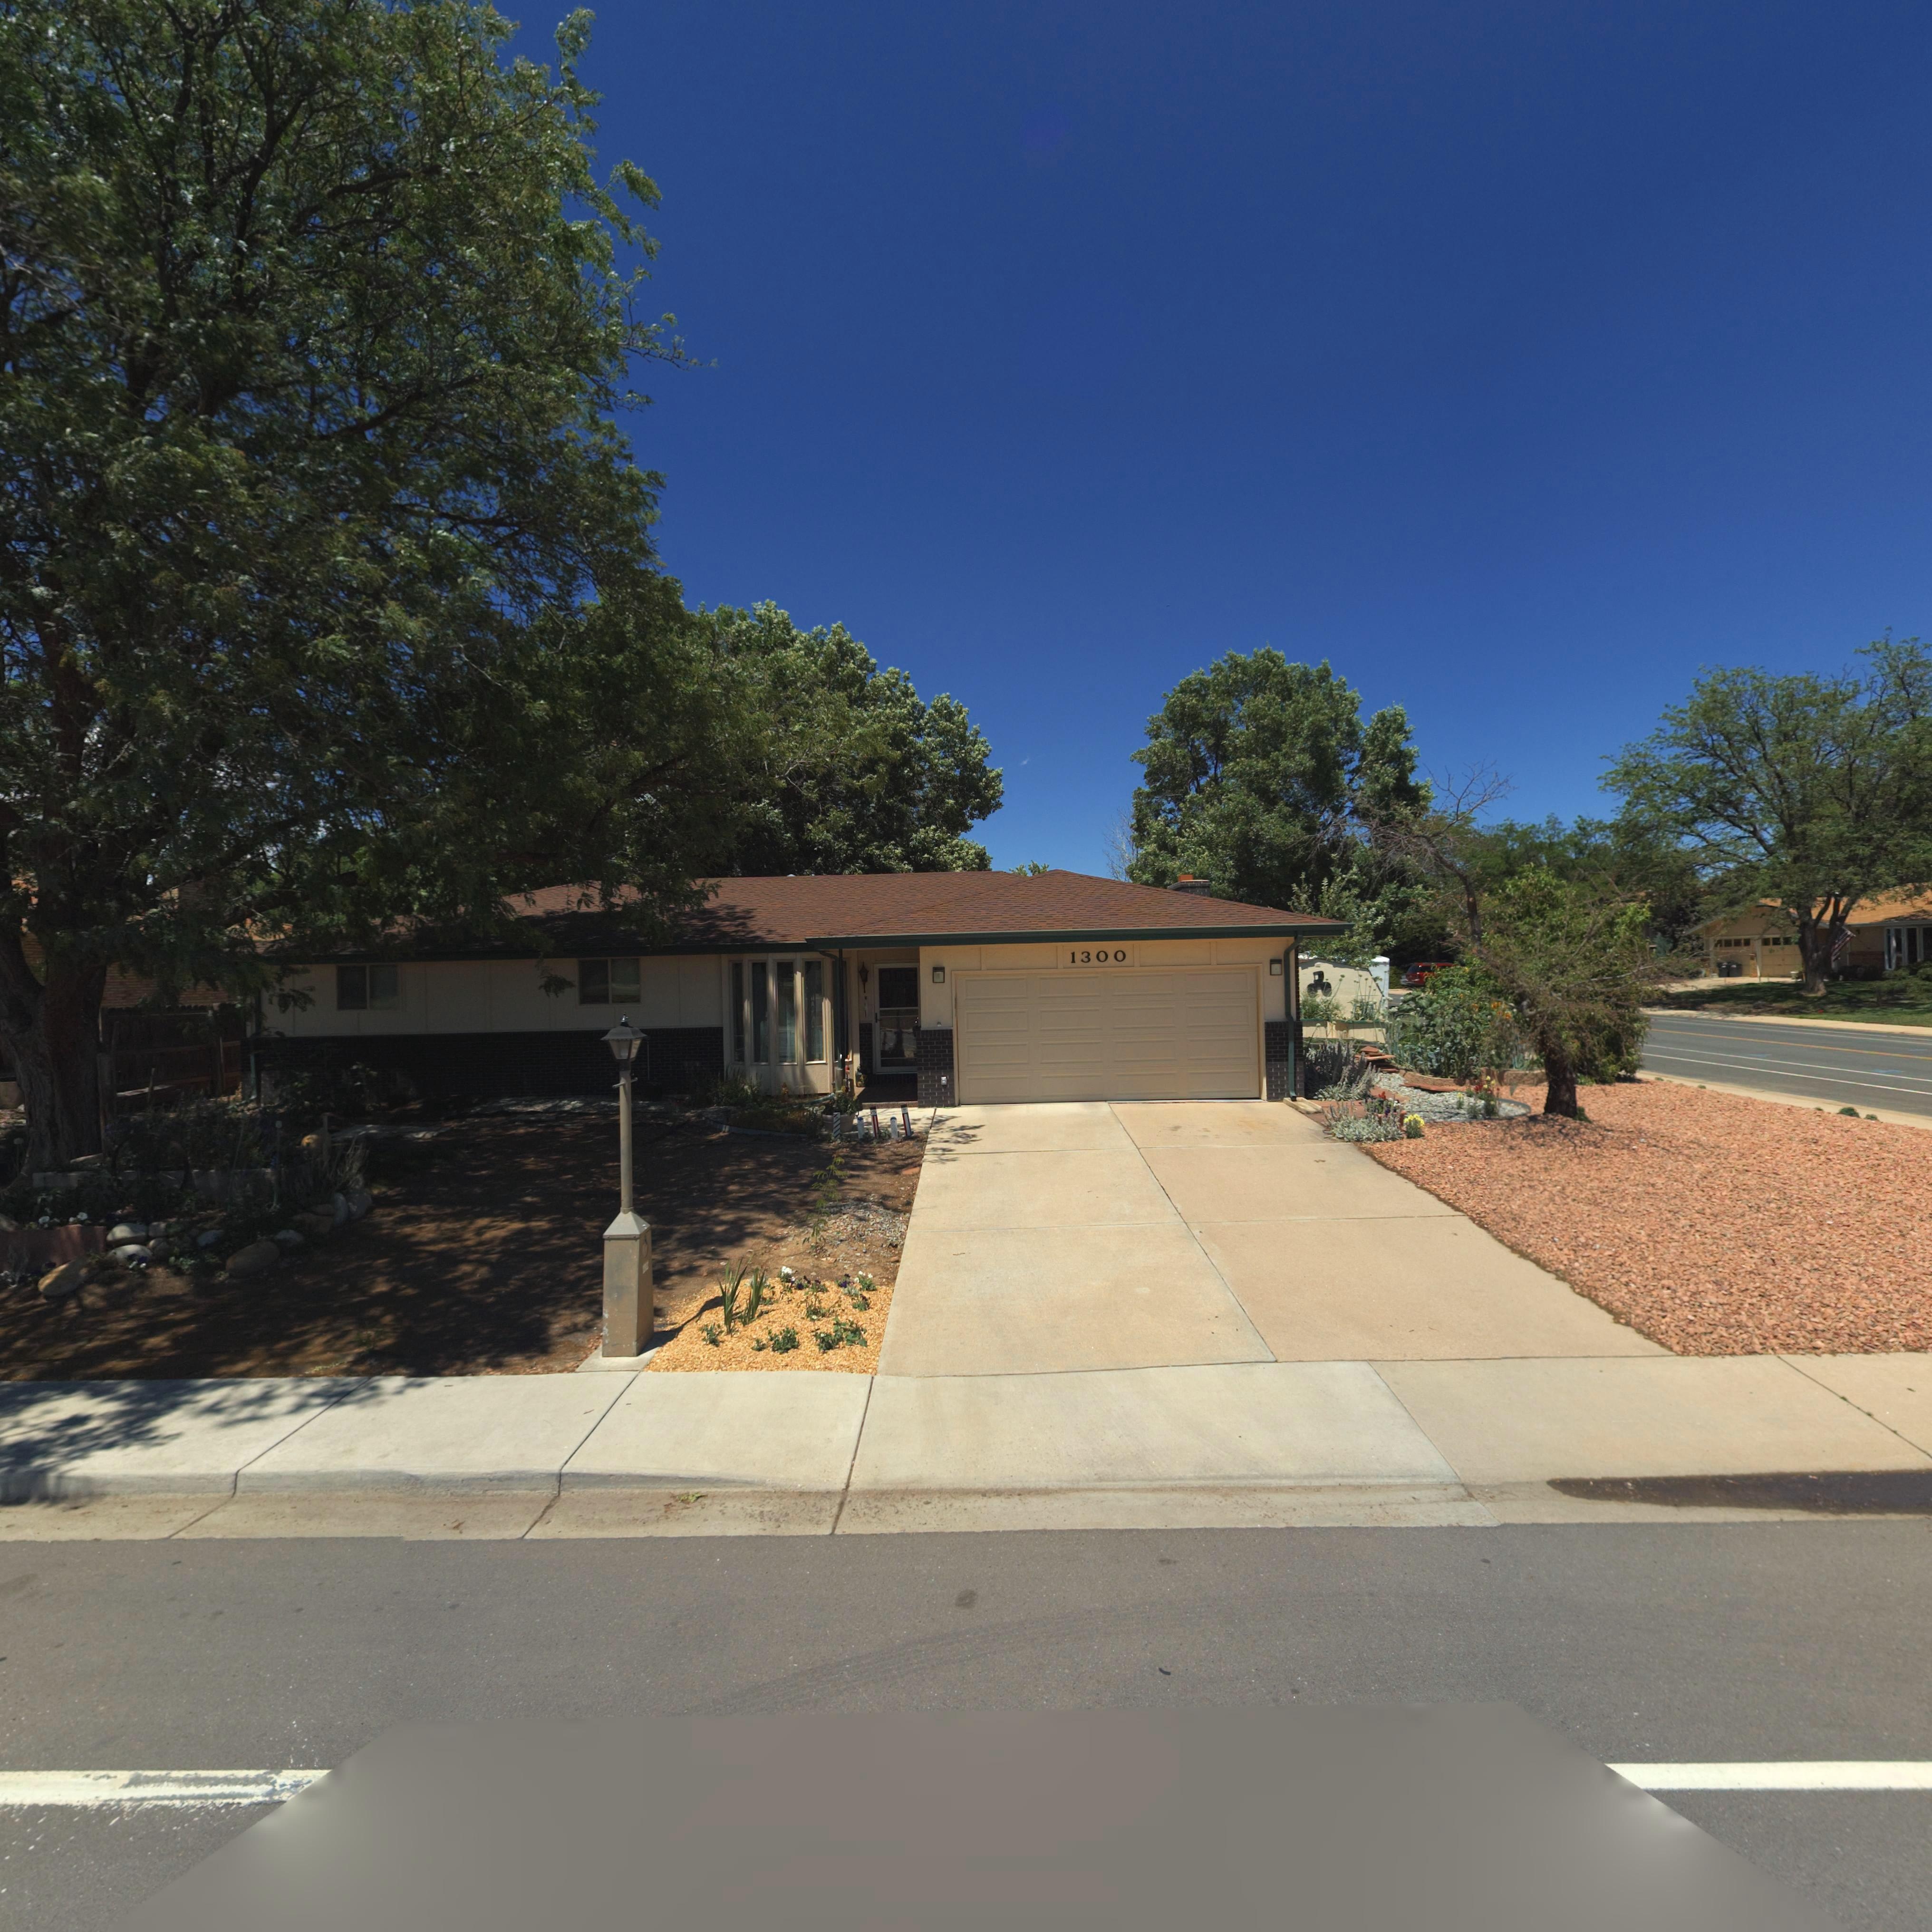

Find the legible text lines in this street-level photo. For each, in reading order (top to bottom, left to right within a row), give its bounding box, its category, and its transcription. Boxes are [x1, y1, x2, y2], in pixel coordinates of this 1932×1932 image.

[1070, 949, 1127, 964] StreetNumber: 1300